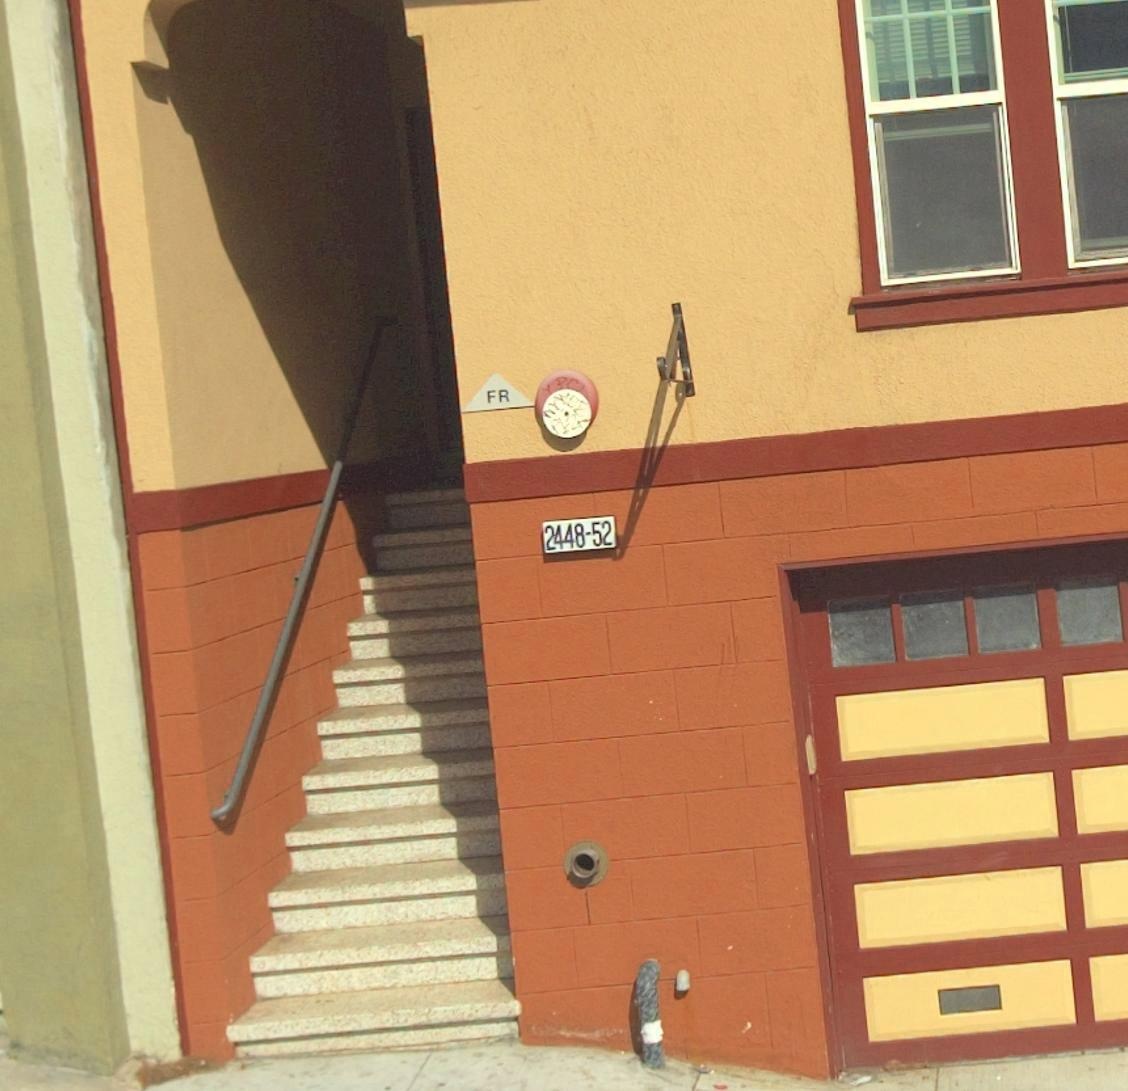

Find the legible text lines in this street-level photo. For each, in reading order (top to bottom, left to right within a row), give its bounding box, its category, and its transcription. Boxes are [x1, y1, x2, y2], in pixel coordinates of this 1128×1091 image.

[484, 385, 513, 407] None: FR
[539, 373, 585, 397] None: YPC
[543, 517, 618, 554] StreetNumber: 2448-52